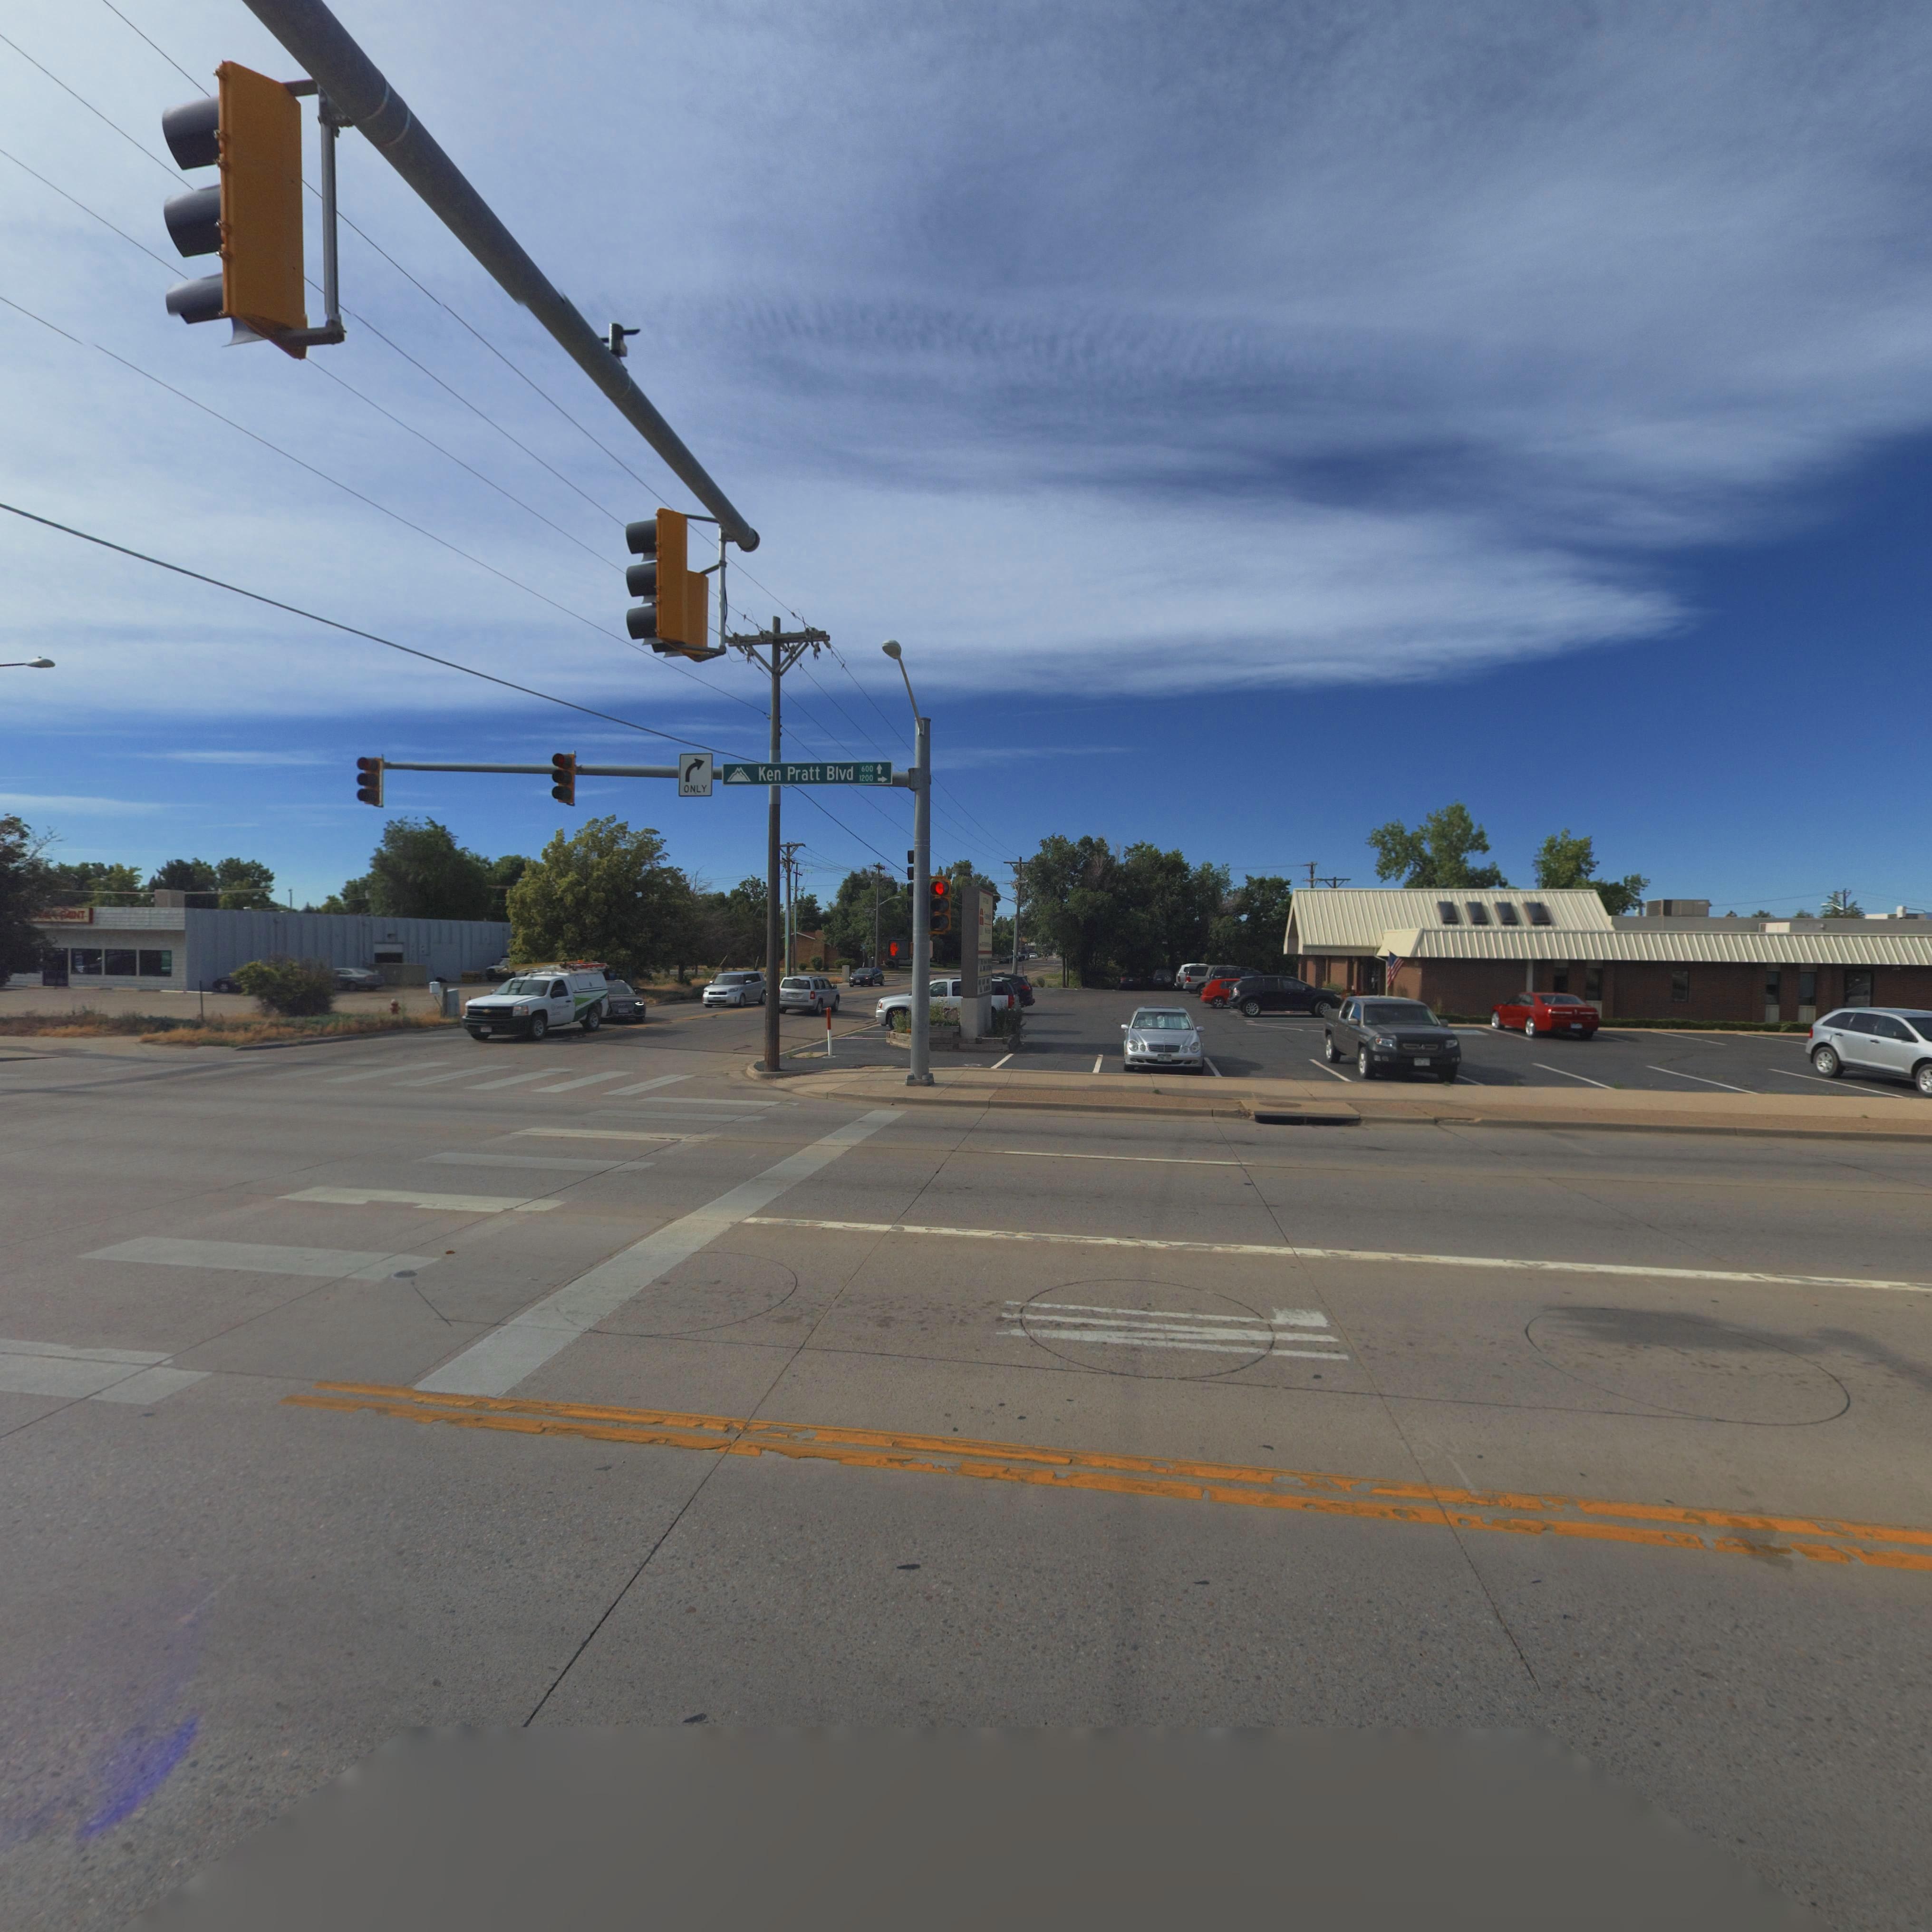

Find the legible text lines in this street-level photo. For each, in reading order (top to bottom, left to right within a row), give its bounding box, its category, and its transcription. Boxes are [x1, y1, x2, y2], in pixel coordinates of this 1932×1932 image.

[758, 765, 853, 781] StreetName: Ken Pratt Blvd
[861, 765, 873, 772] StreetNumberRange: 600
[859, 774, 888, 783] StreetNumberRange: 1200->
[43, 909, 86, 920] BusinessName: ** *A*NT